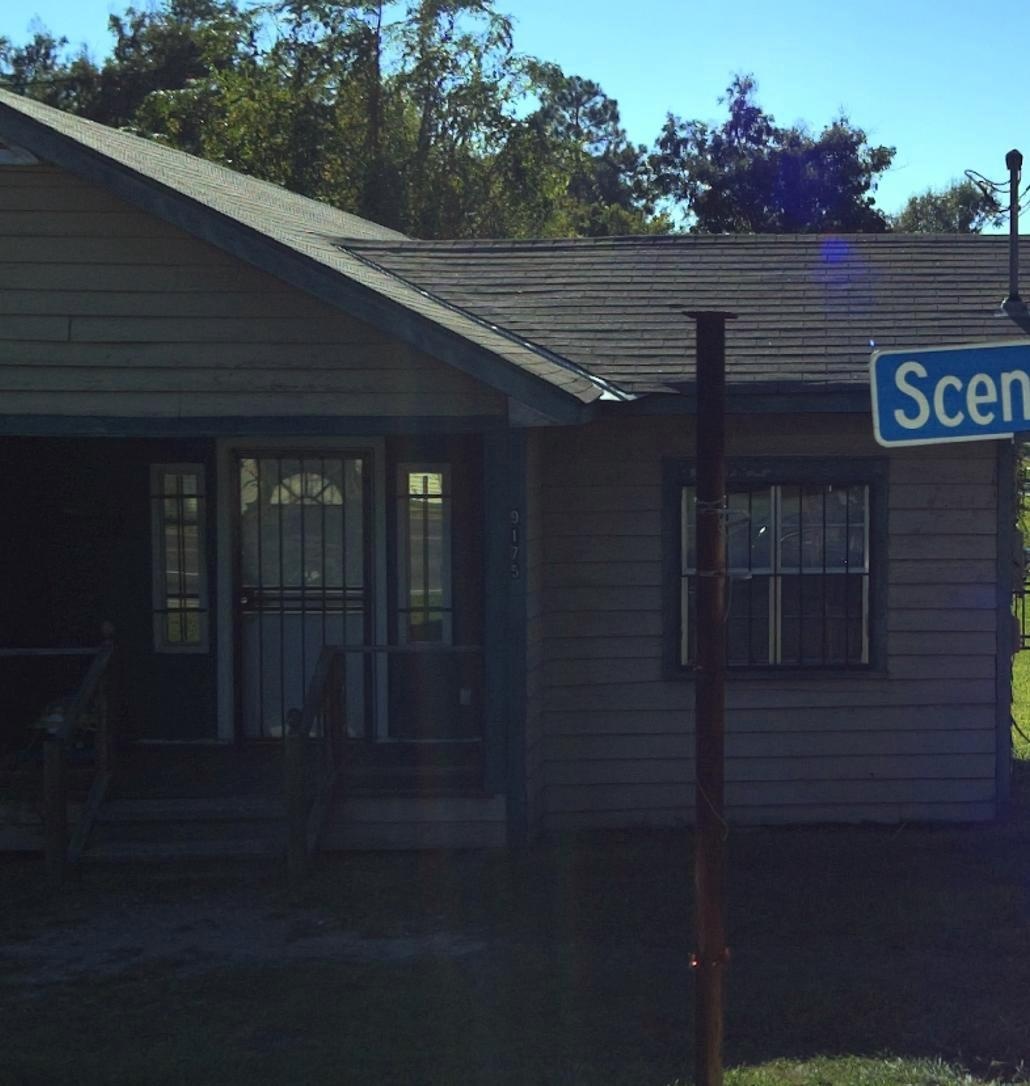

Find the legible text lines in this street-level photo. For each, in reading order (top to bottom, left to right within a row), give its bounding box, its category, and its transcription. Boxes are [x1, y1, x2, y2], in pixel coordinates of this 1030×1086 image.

[889, 360, 999, 433] StreetName: Sce
[509, 508, 521, 580] StreetNumber: 9175